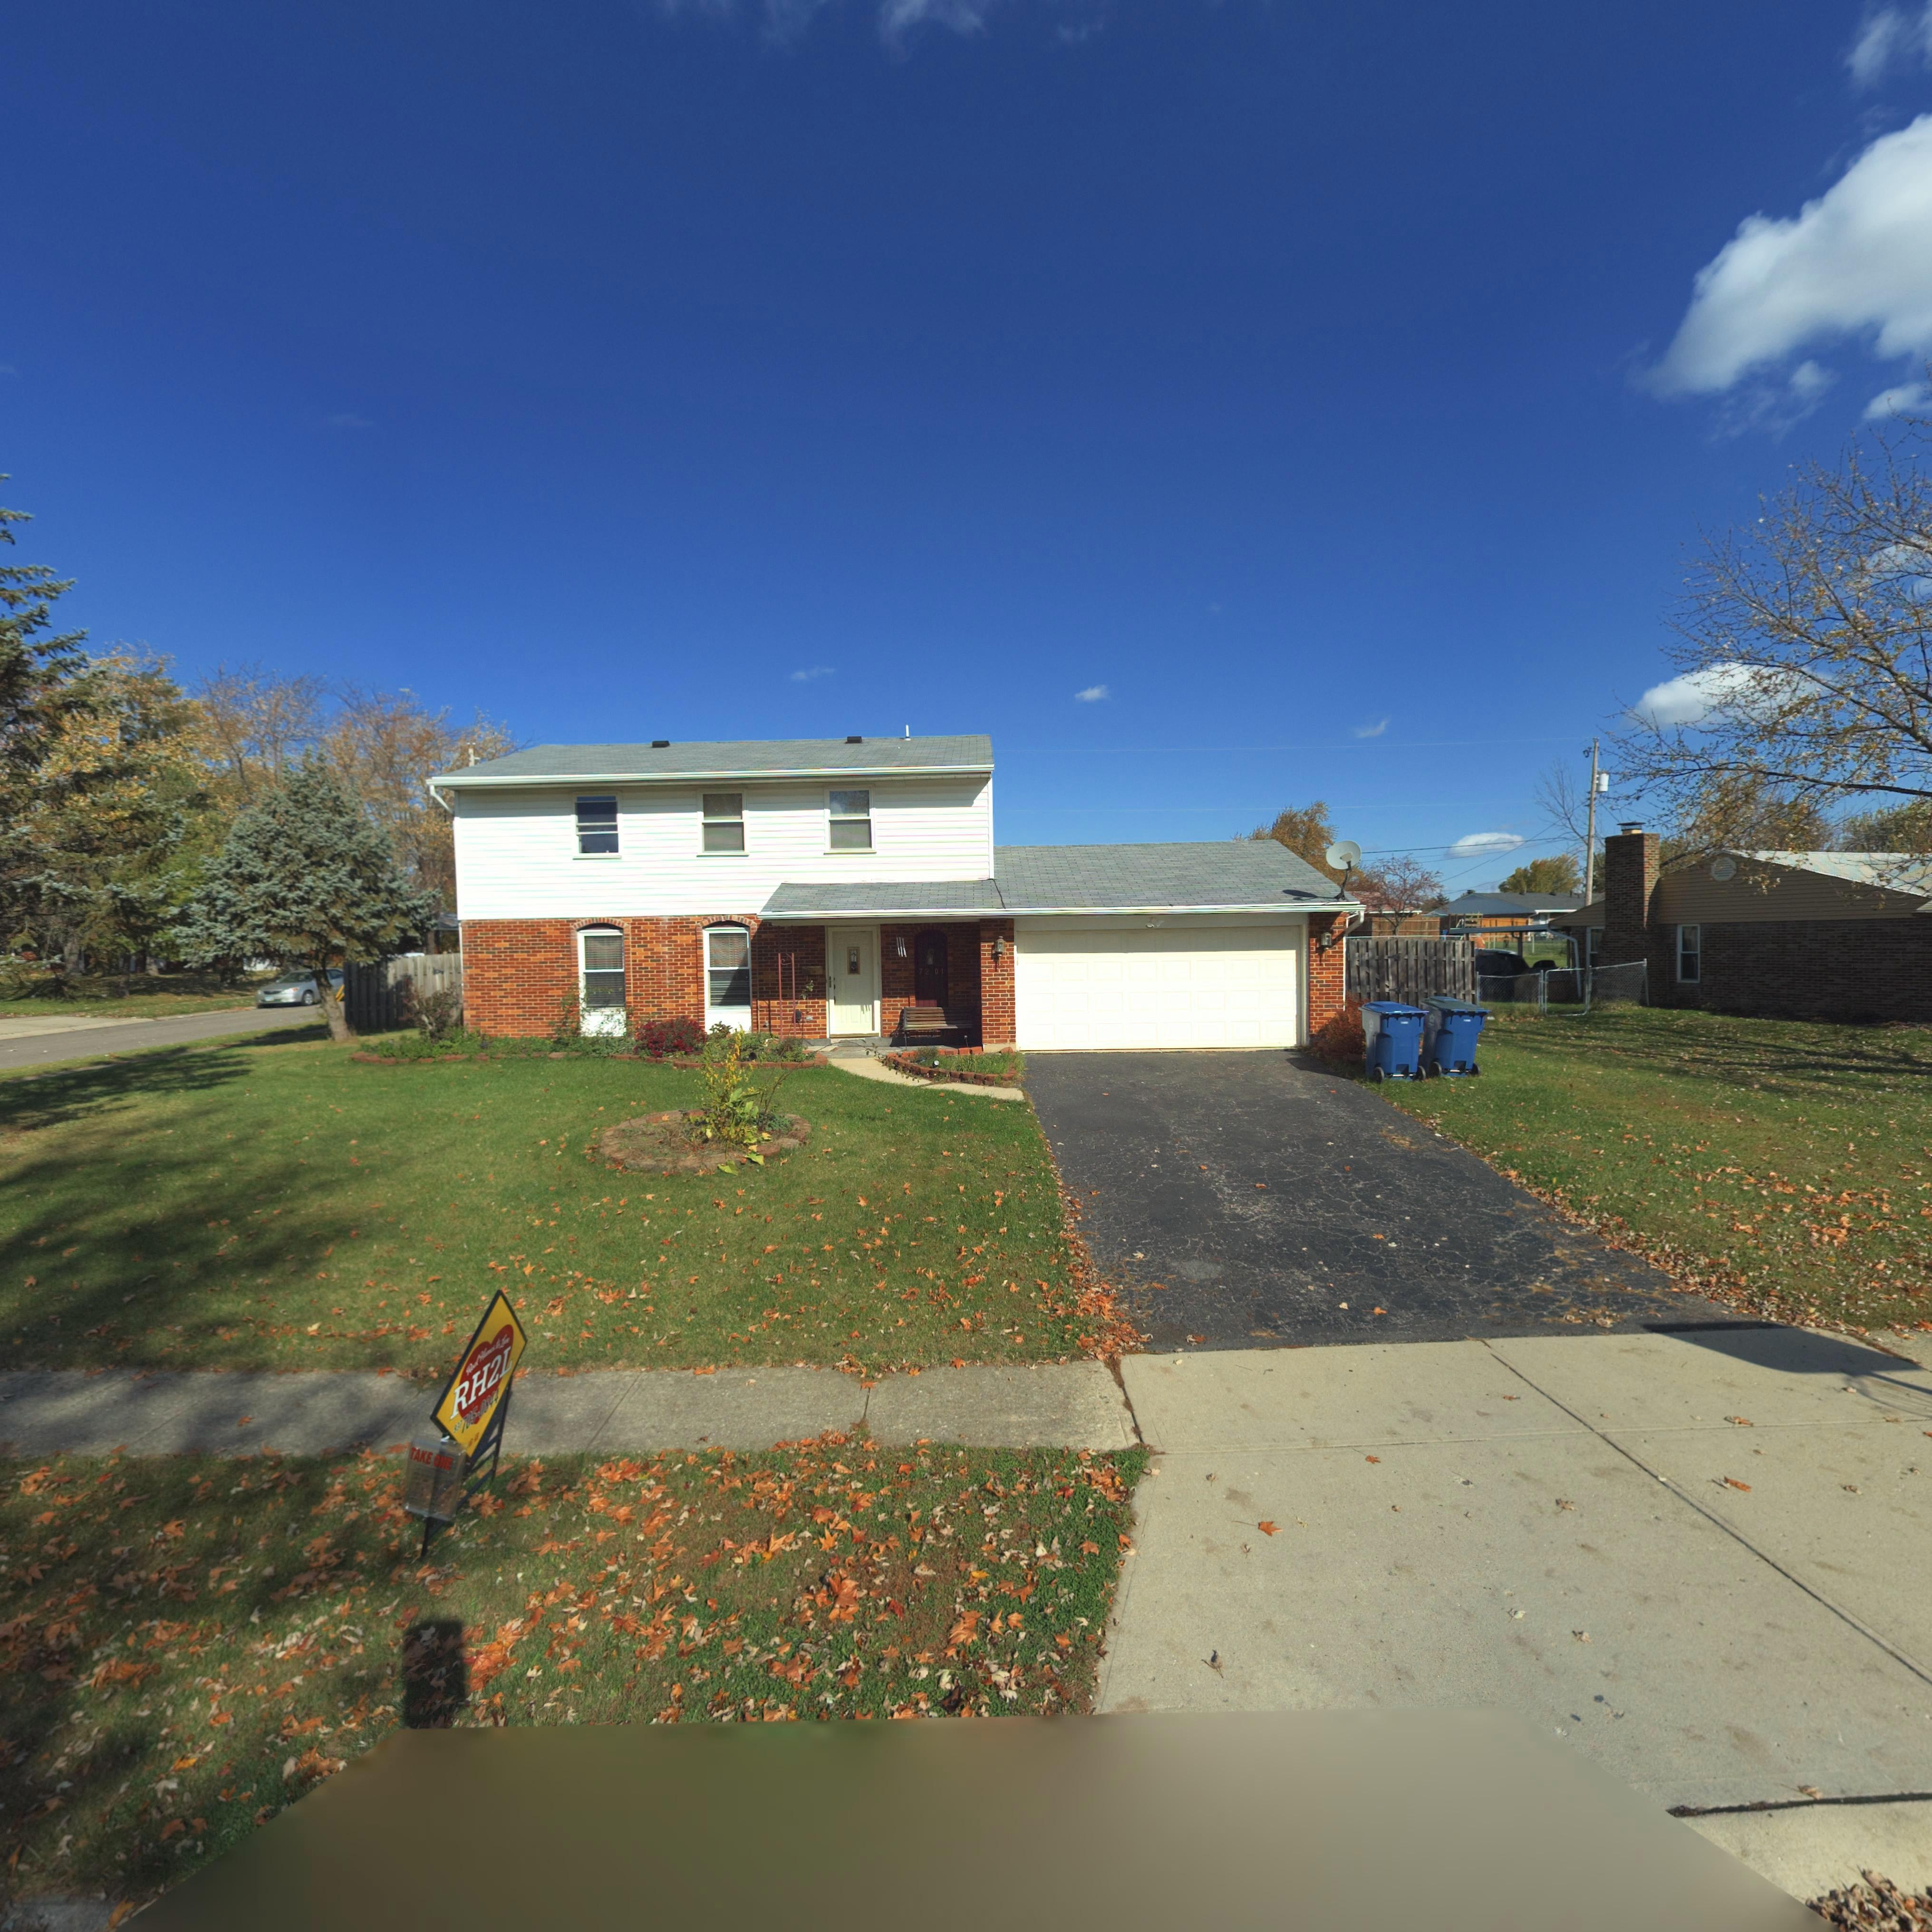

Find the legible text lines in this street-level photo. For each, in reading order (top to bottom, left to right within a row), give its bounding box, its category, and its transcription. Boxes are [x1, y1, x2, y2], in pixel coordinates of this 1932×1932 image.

[918, 967, 945, 976] StreetNumber: 72 01